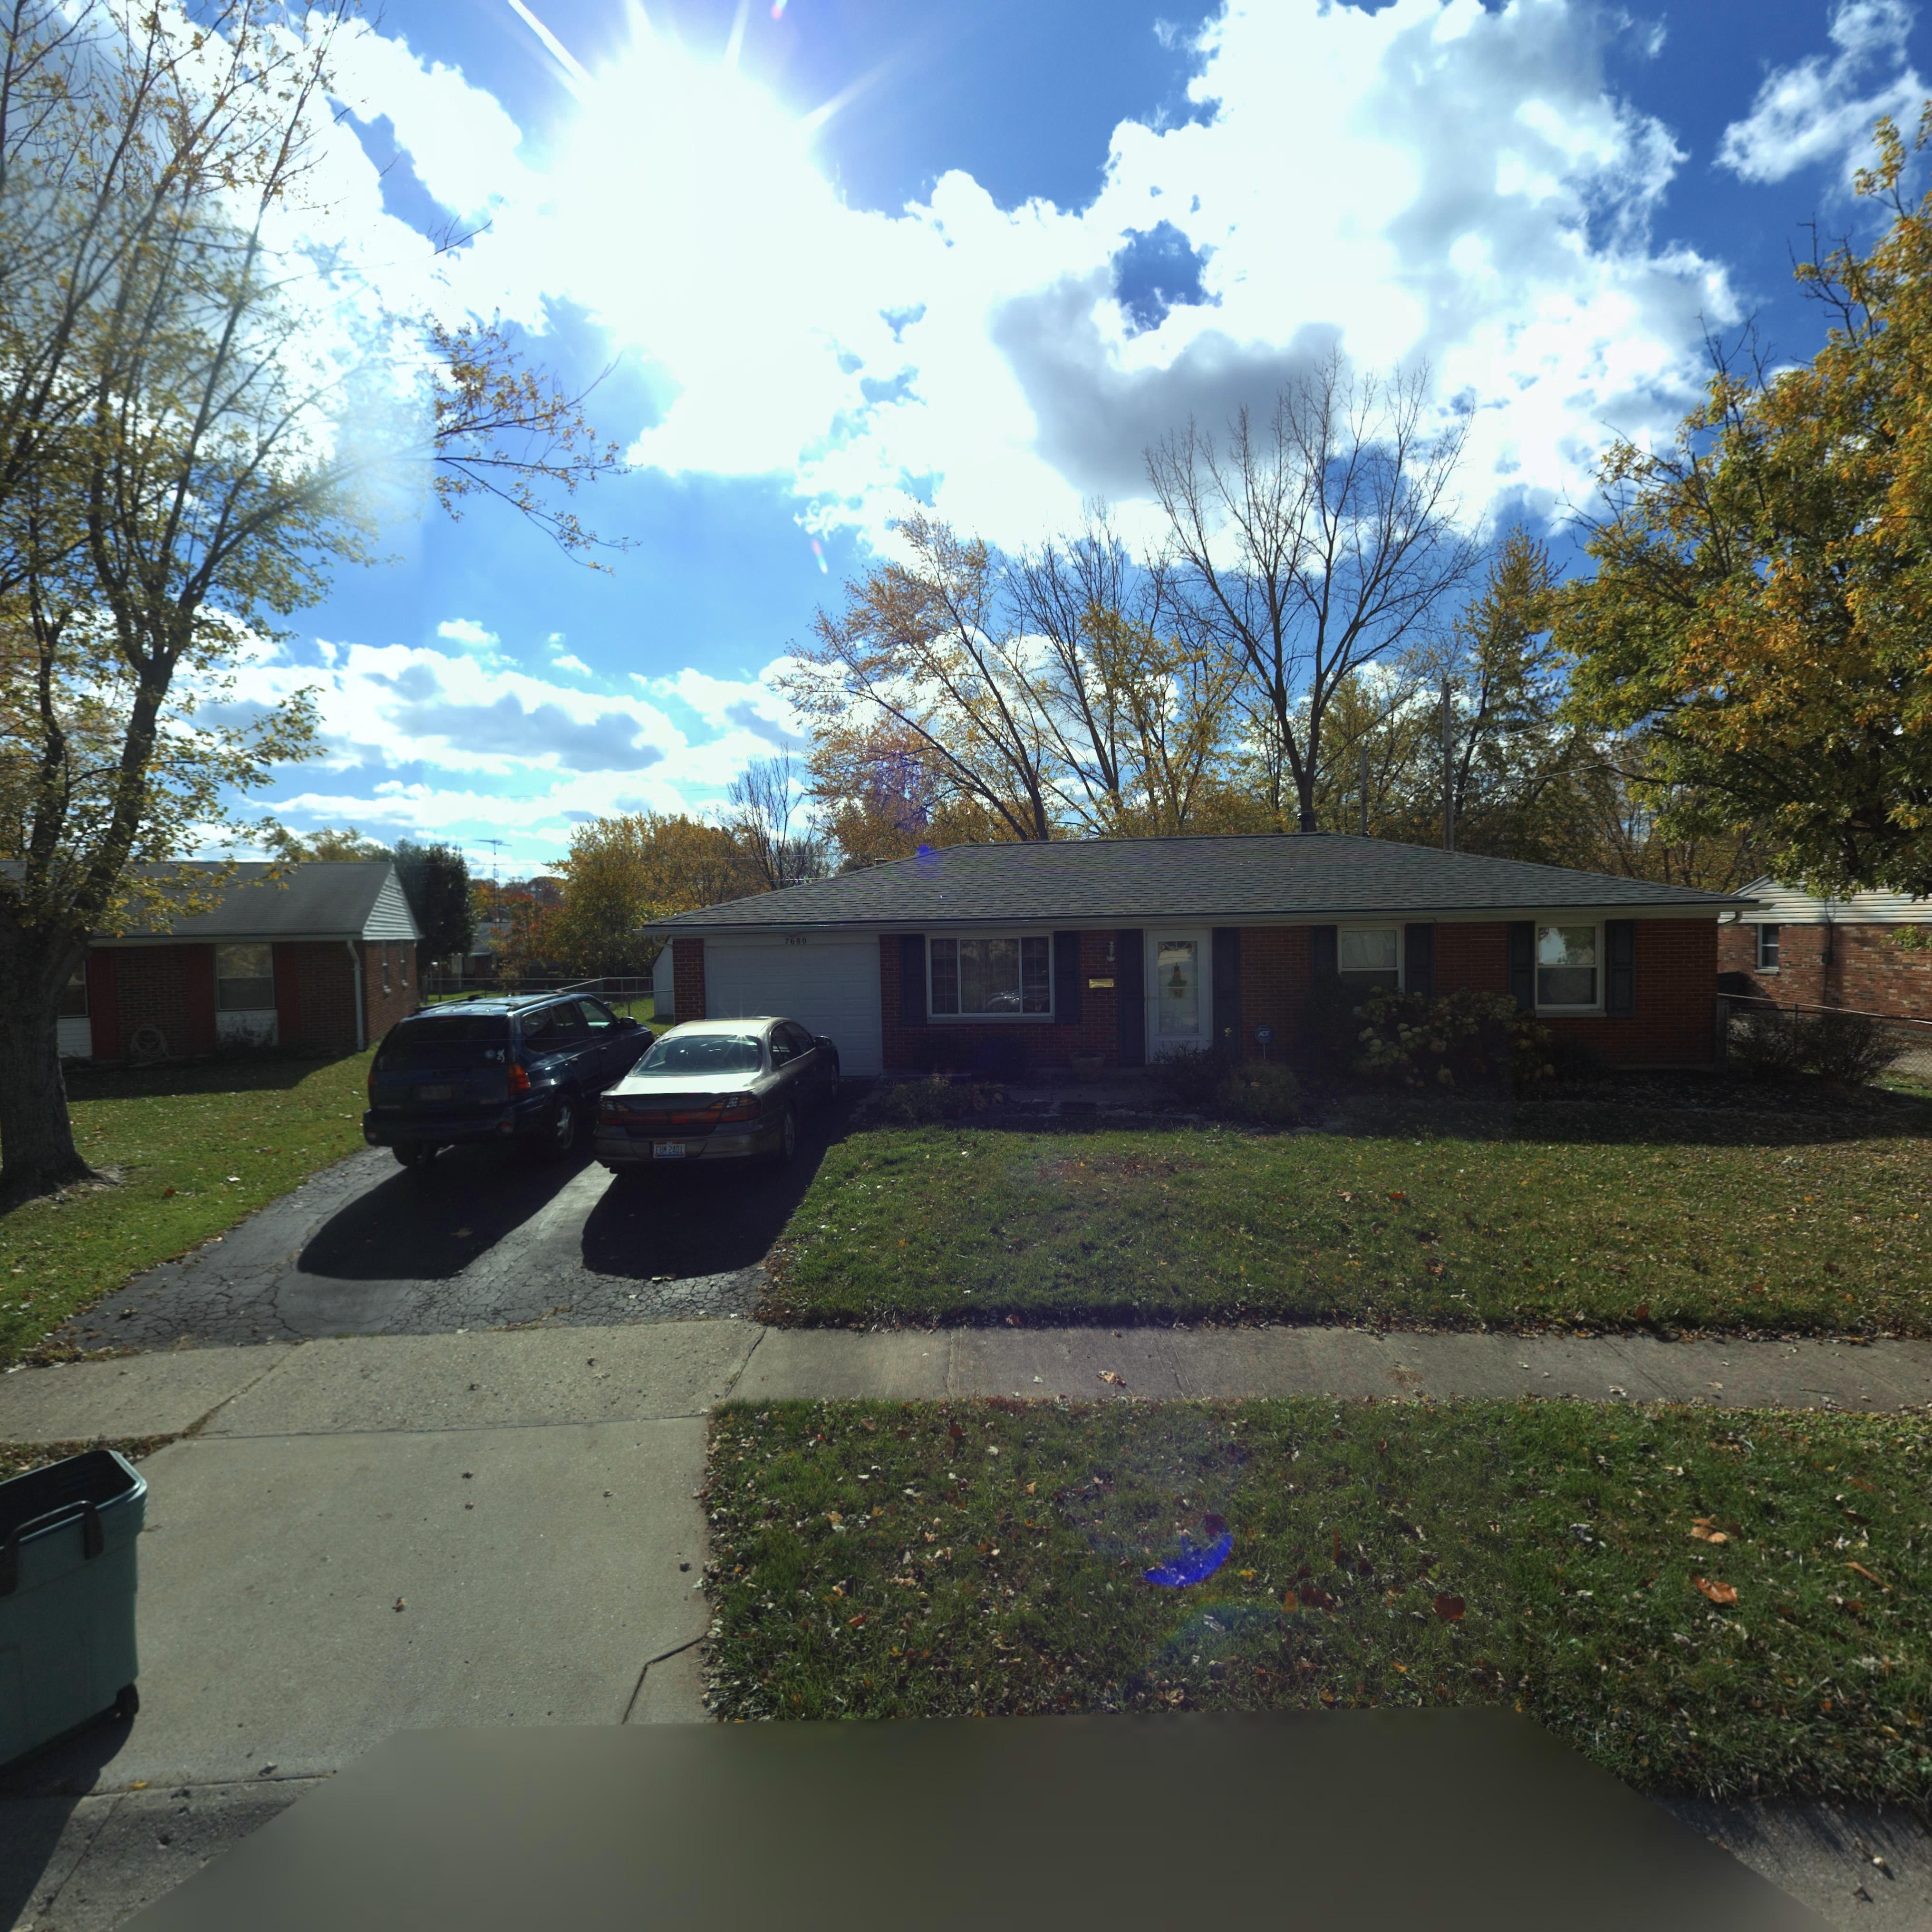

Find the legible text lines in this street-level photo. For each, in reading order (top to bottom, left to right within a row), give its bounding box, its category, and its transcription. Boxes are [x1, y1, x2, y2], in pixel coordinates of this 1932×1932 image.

[784, 937, 808, 945] StreetNumber: 7680